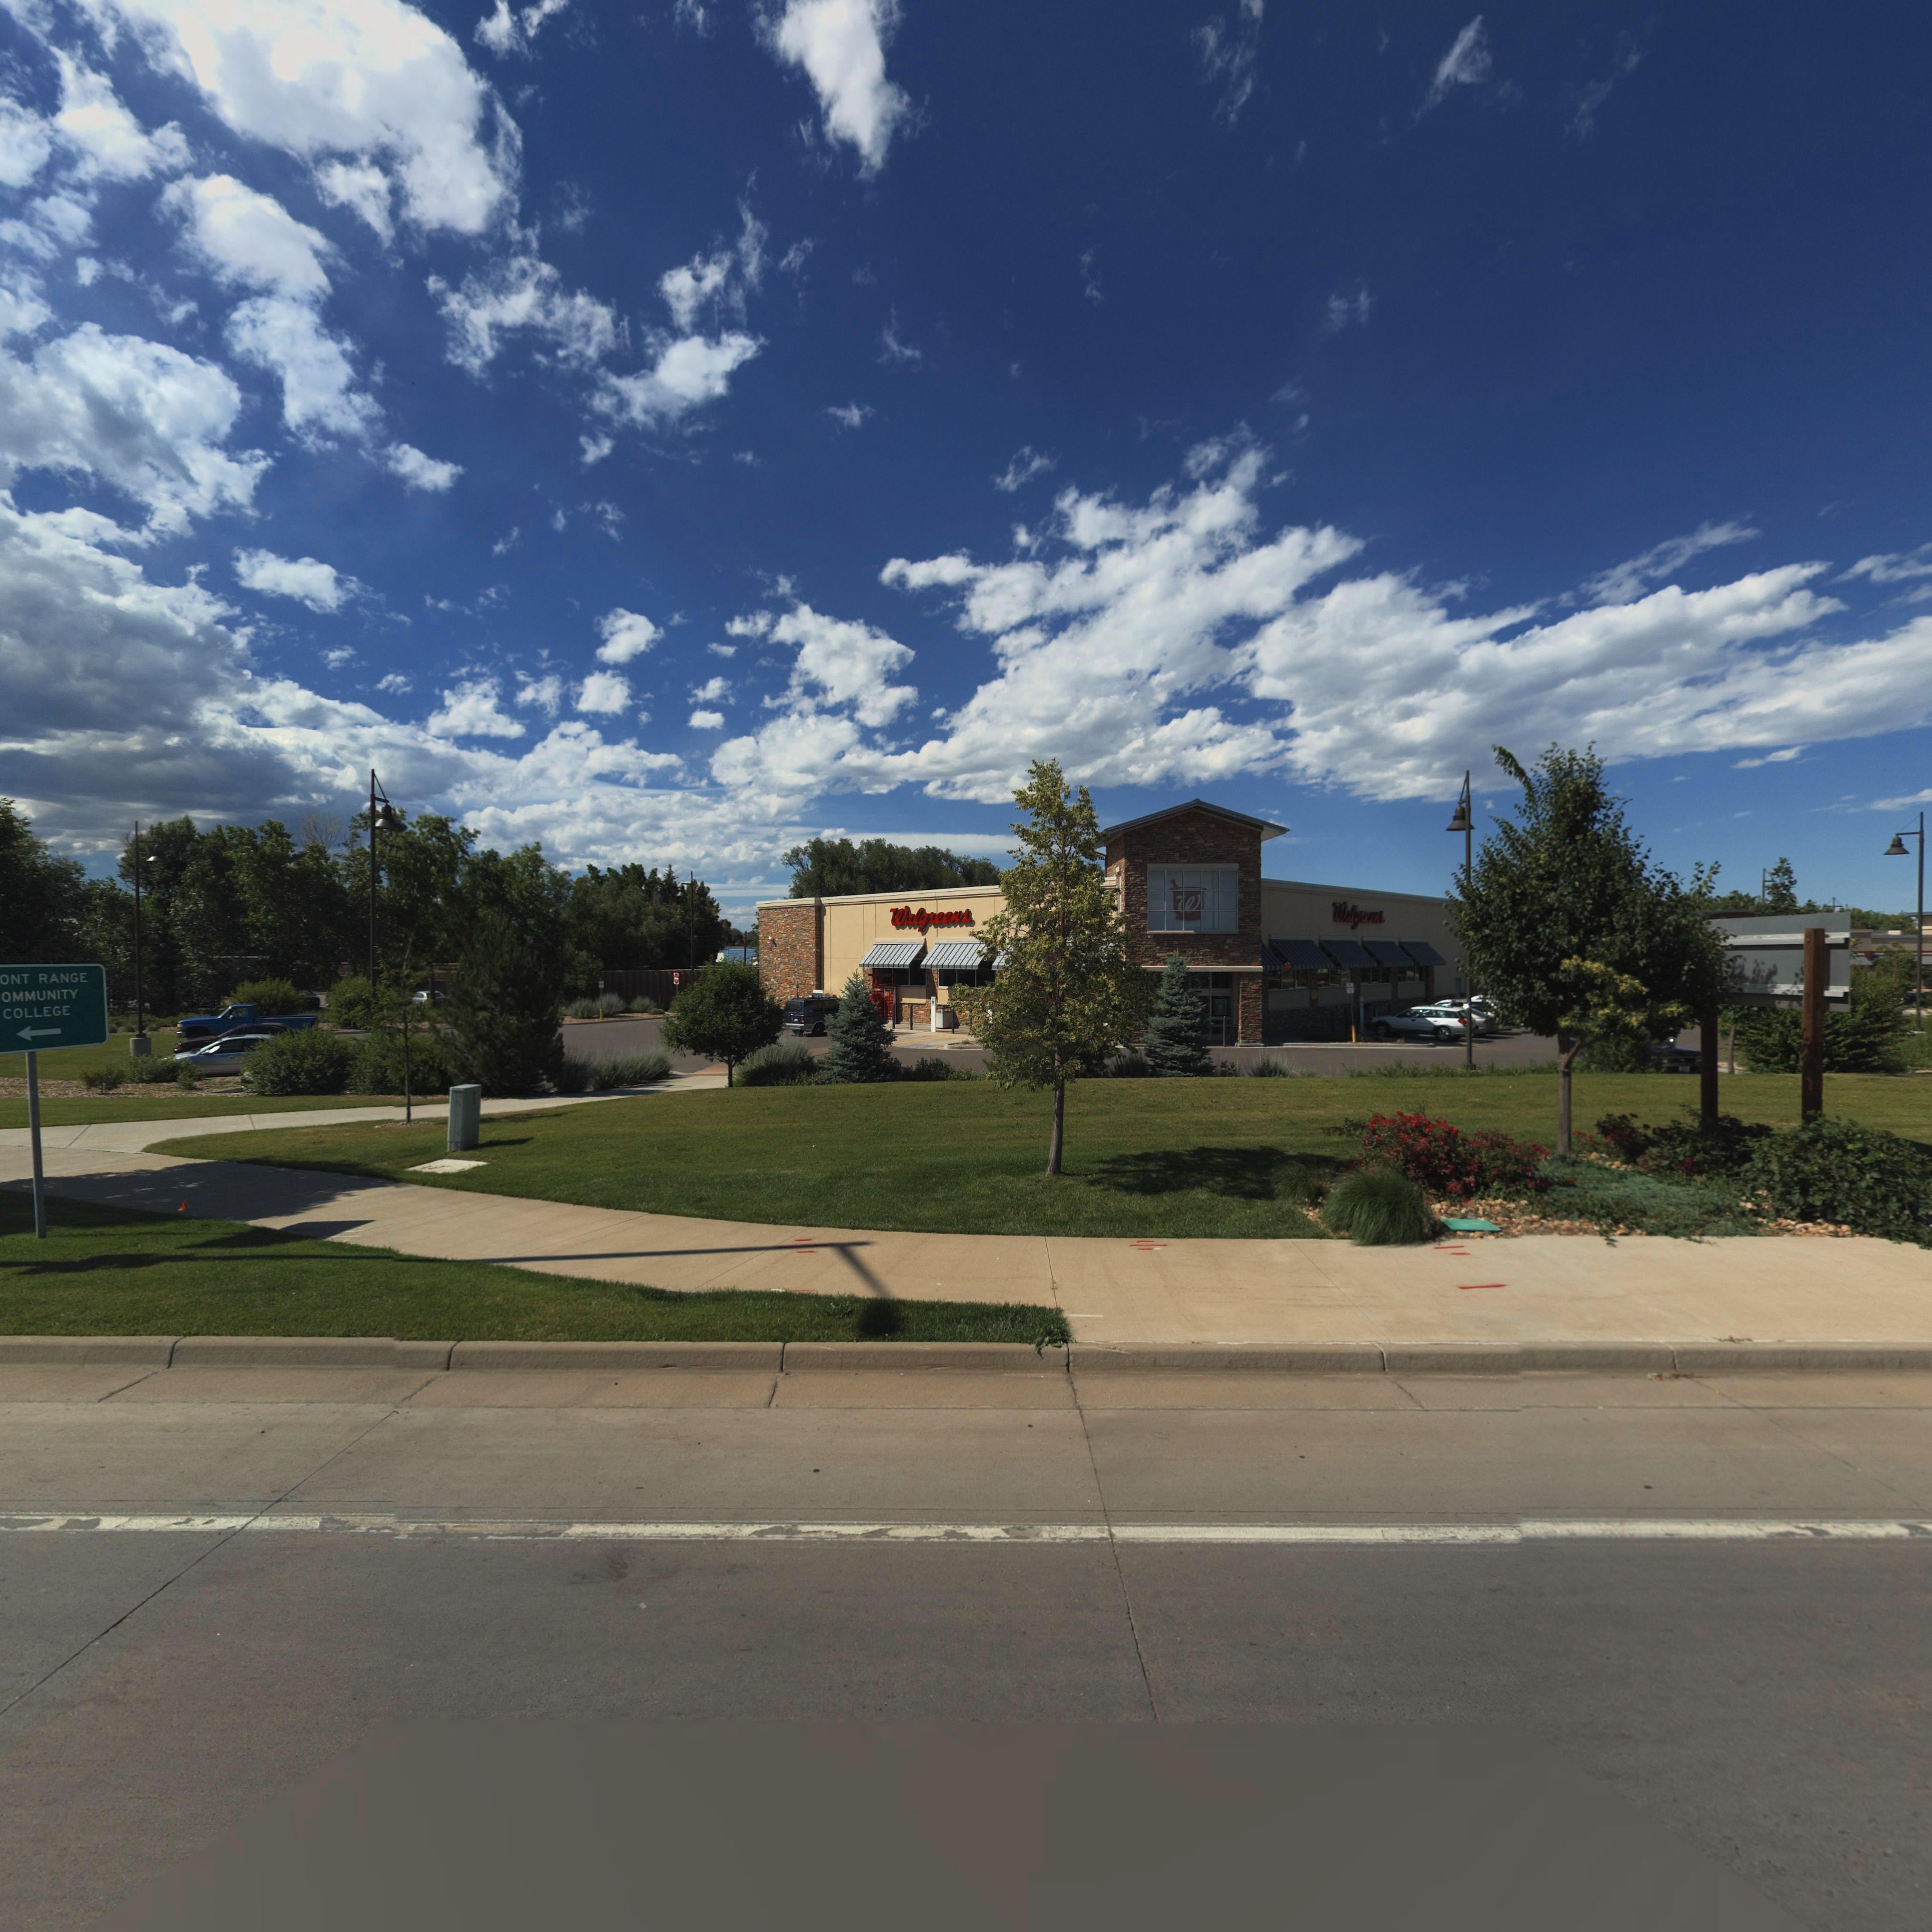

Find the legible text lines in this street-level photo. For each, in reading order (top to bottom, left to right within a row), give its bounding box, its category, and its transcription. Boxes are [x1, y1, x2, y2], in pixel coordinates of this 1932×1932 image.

[889, 905, 972, 932] BusinessName: Walgreens
[1333, 901, 1385, 929] BusinessName: Walgreens